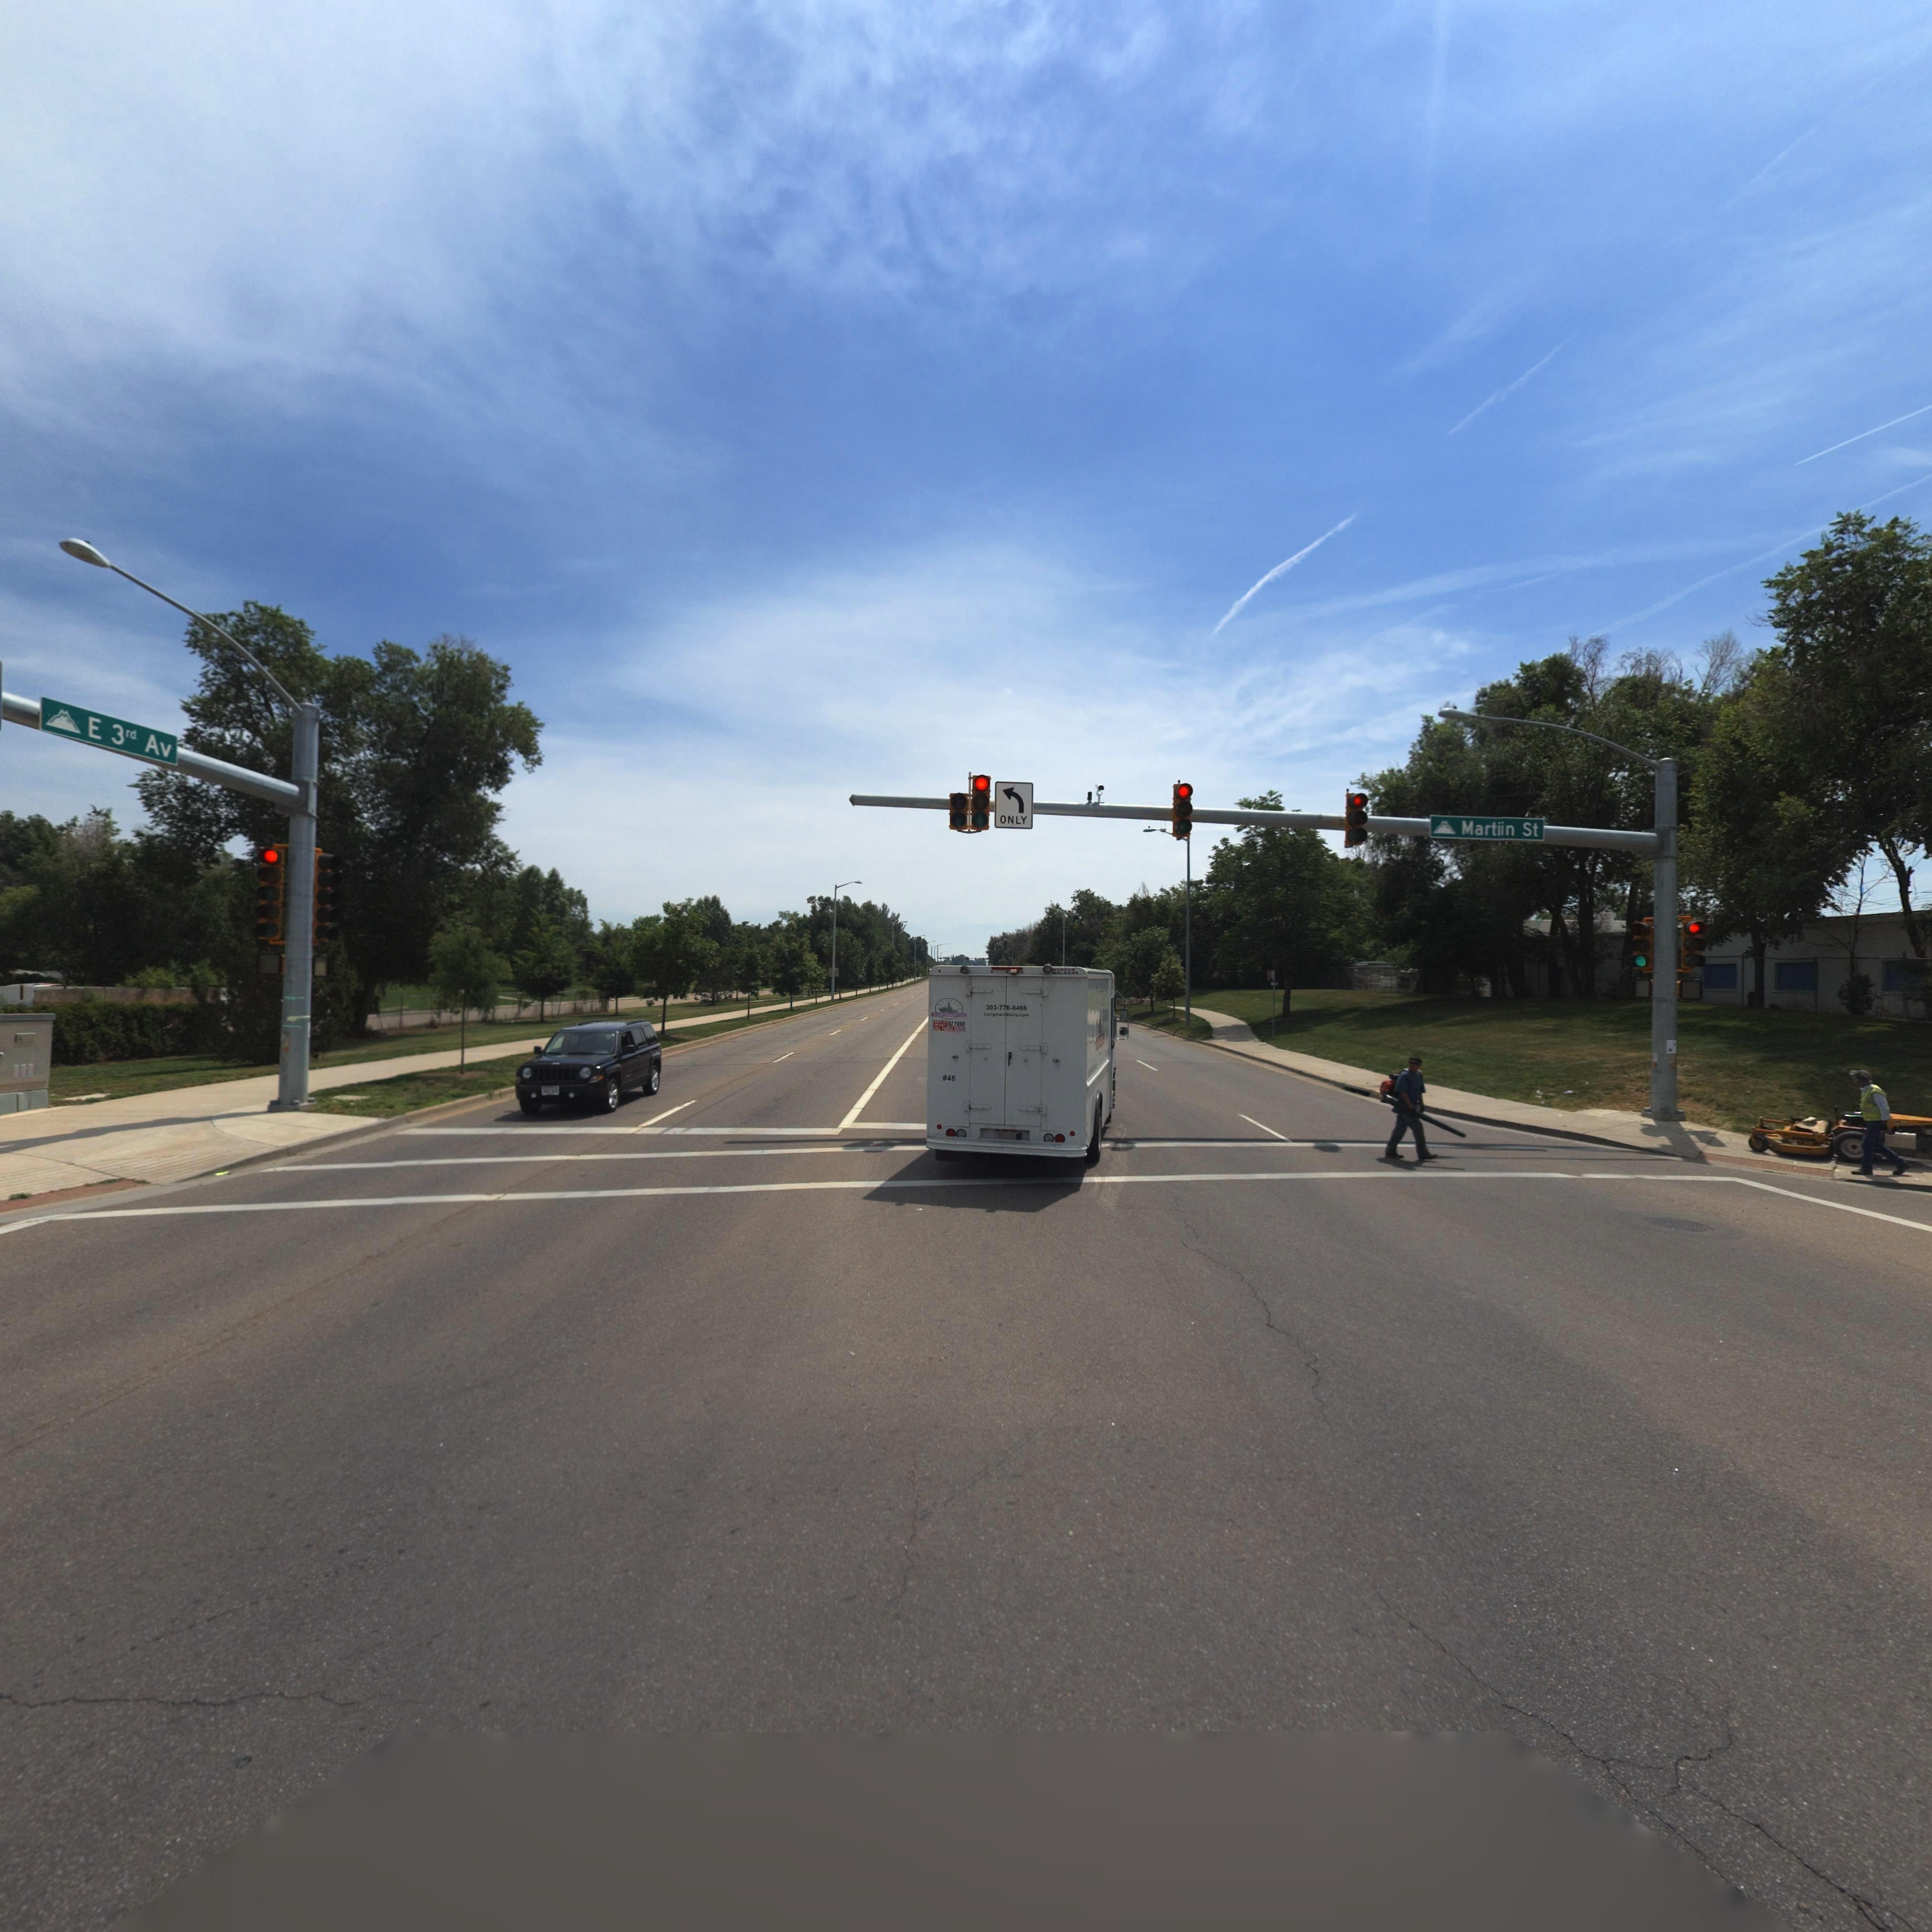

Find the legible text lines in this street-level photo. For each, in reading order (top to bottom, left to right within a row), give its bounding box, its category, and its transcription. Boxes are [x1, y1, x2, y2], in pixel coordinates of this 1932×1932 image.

[87, 715, 174, 759] StreetName: E 3rd Av
[1461, 820, 1539, 838] StreetName: Martiin St